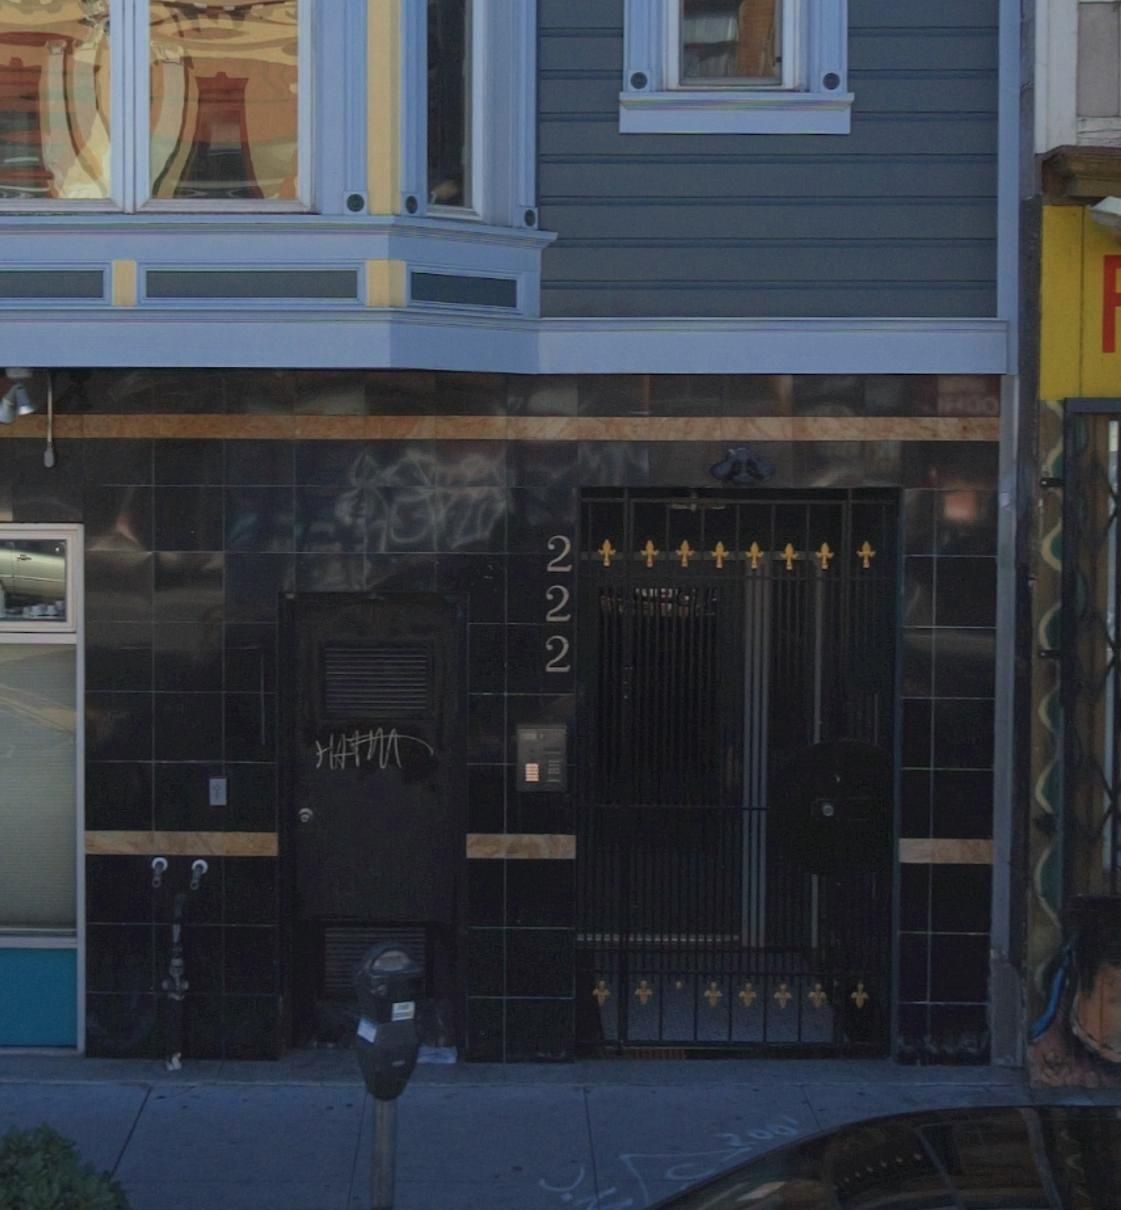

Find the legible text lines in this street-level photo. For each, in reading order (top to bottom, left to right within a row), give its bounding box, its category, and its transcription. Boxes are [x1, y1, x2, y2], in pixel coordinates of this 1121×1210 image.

[544, 533, 574, 675] StreetNumber: 222